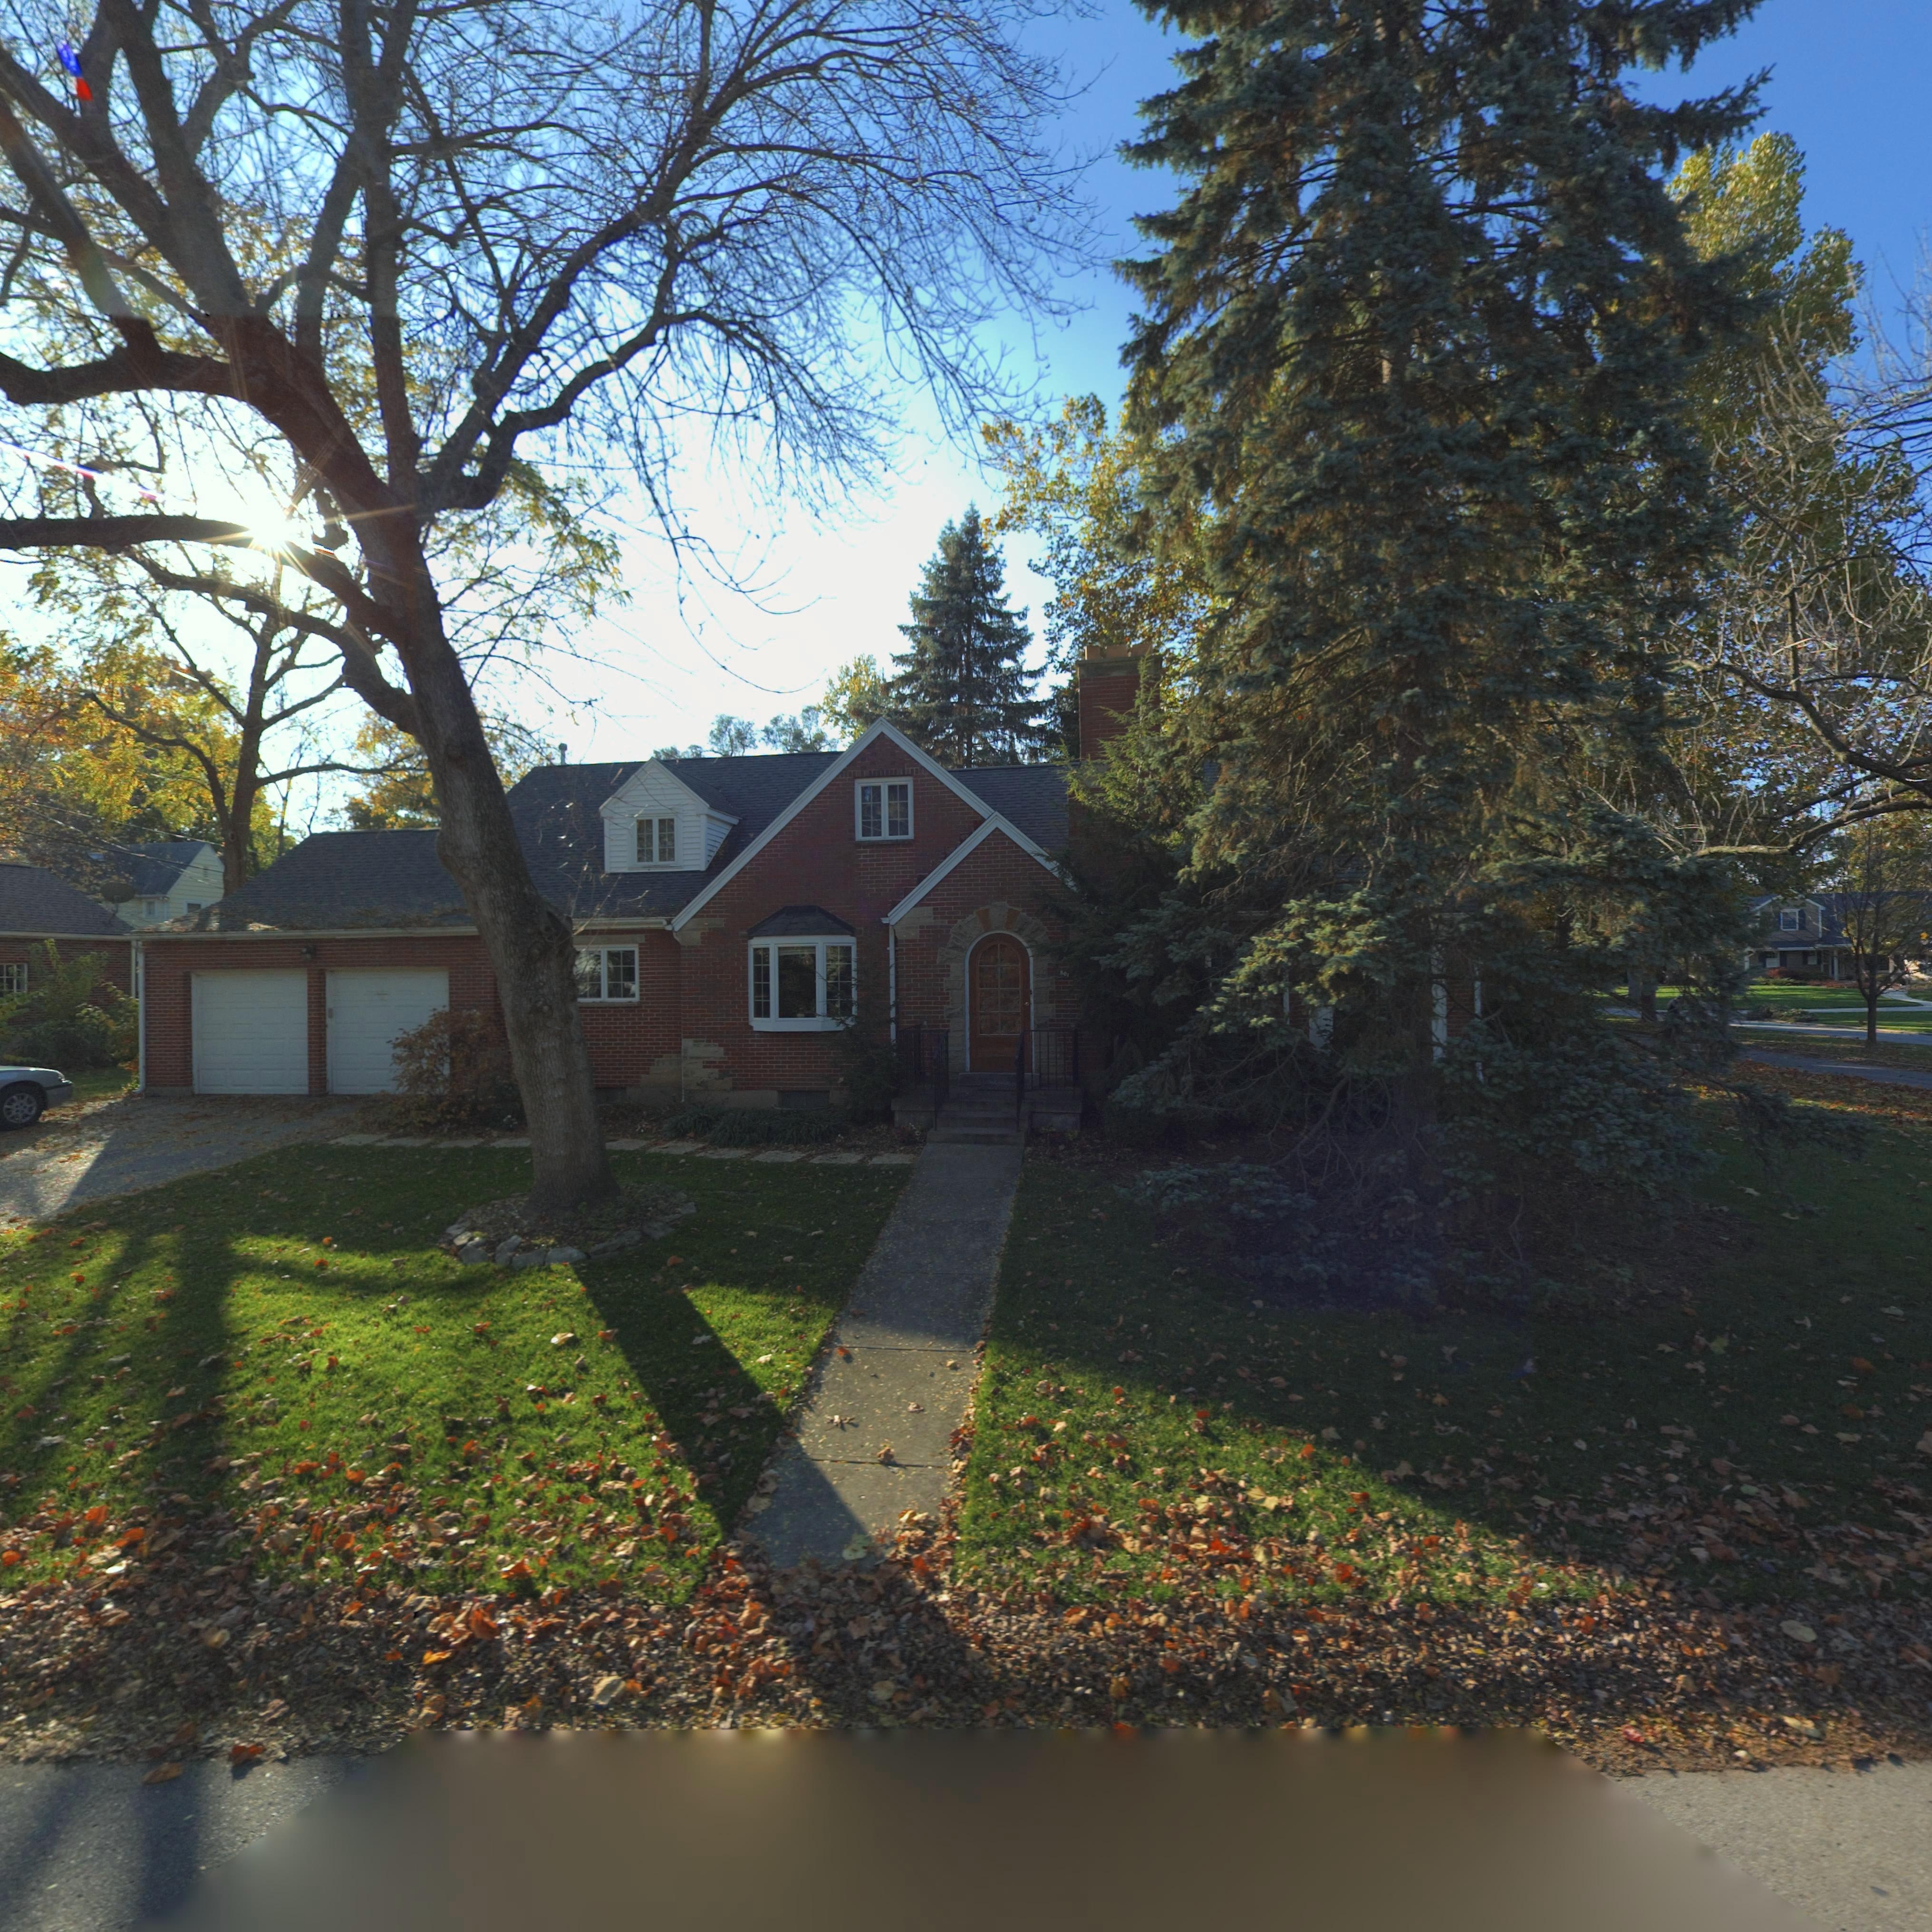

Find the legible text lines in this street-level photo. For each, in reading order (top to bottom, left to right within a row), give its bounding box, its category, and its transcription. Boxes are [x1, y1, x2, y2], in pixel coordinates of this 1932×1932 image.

[1059, 970, 1070, 978] StreetNumber: 801